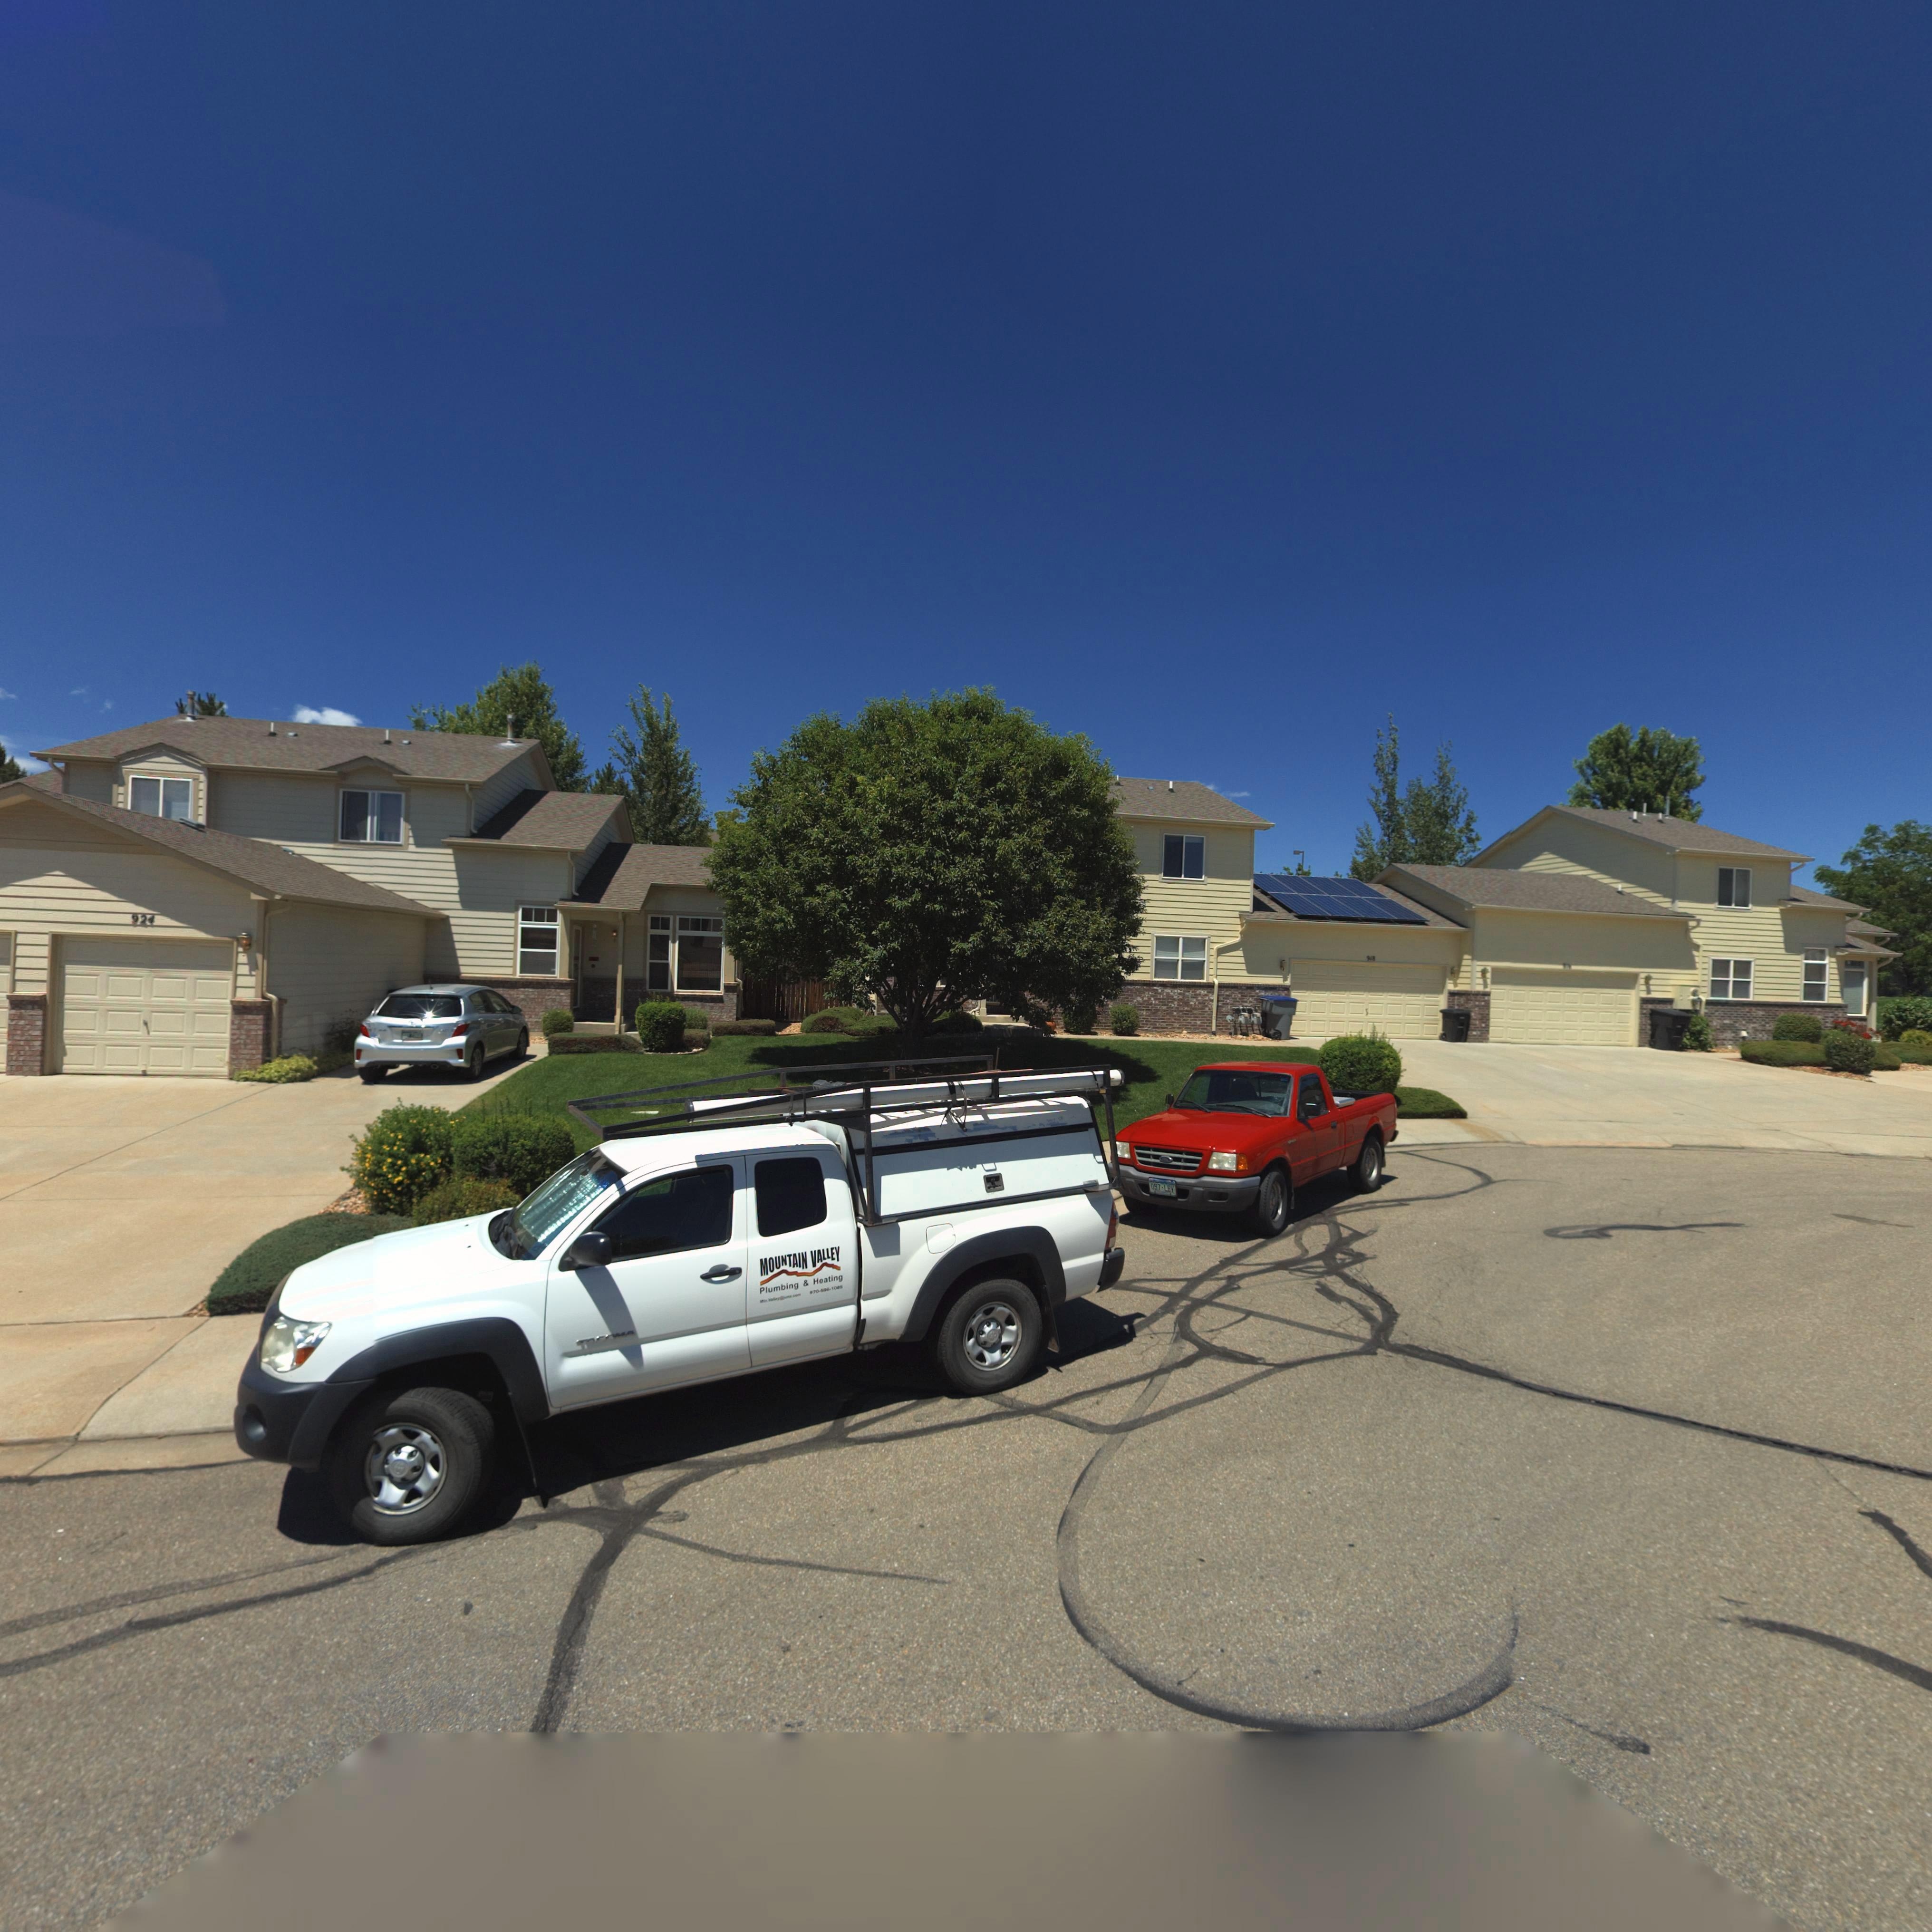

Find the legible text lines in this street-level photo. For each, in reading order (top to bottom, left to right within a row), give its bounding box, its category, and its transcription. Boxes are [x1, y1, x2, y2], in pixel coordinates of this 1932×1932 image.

[131, 913, 156, 925] StreetNumber: 924
[1366, 955, 1375, 961] StreetNumber: 9*5